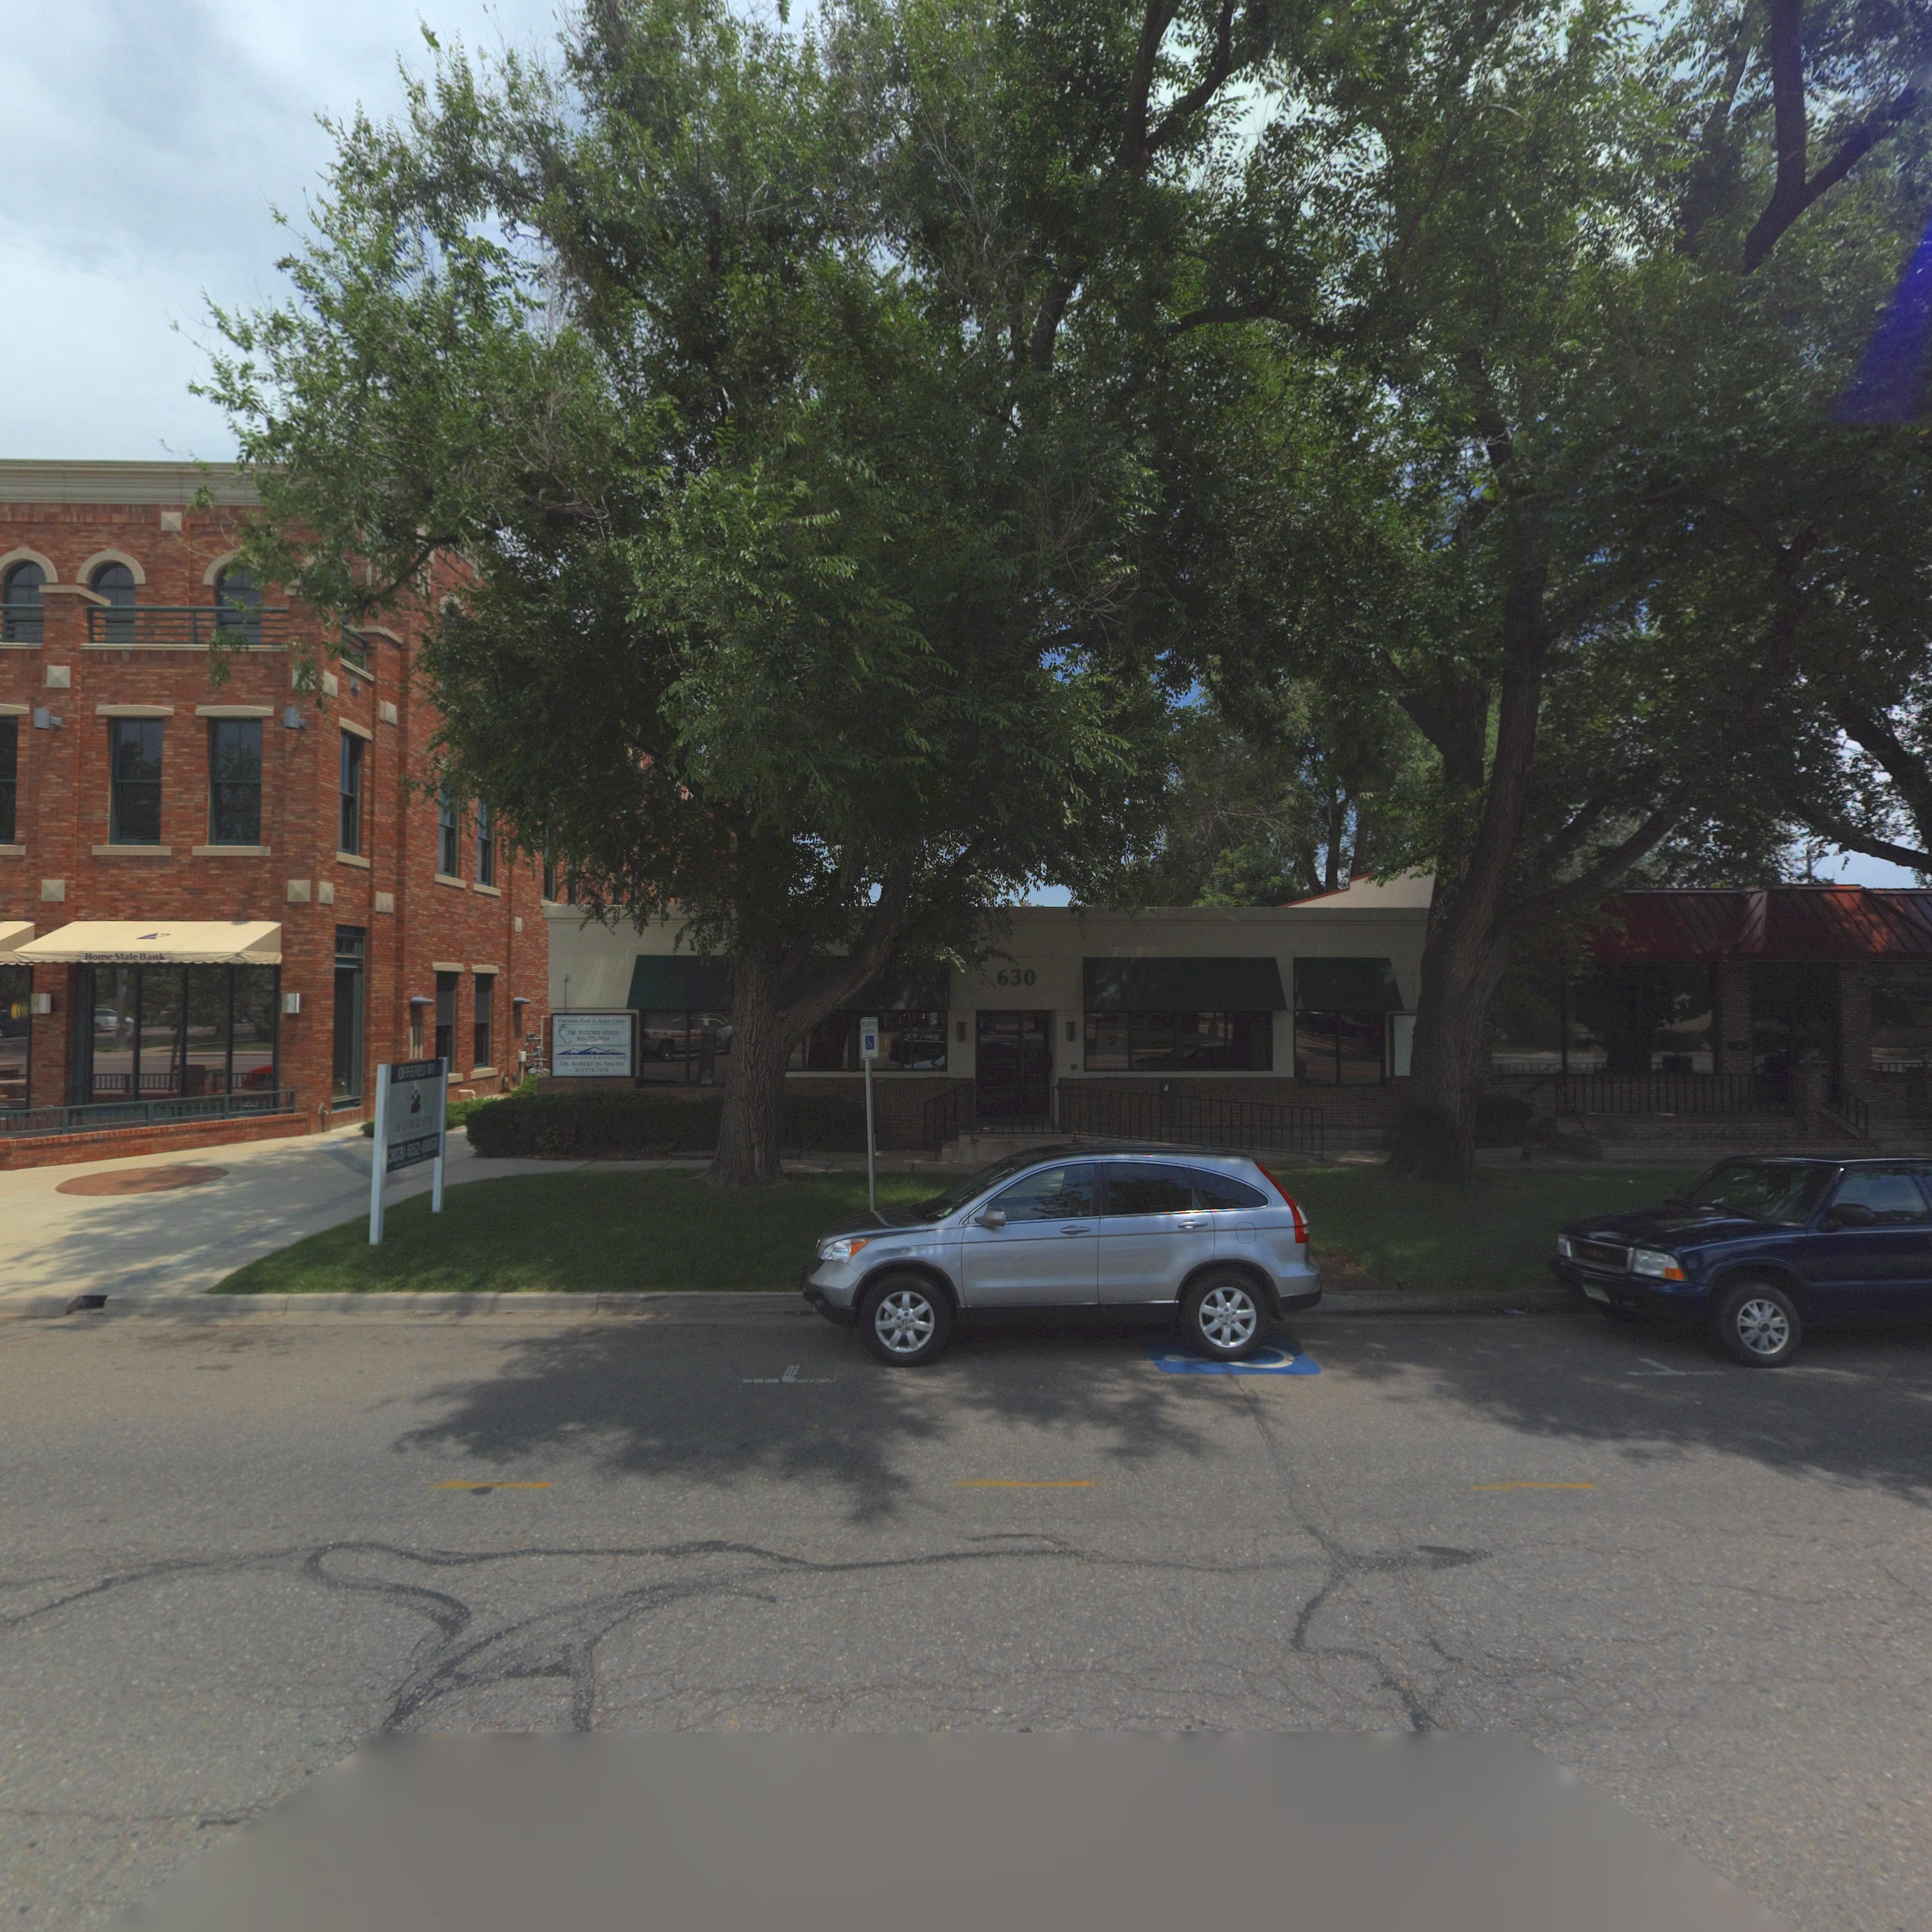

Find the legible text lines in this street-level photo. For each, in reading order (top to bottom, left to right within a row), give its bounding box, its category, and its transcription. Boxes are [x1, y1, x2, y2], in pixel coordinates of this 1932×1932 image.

[84, 952, 165, 960] BusinessName: Home State Bank
[995, 968, 1038, 985] StreetNumber: 630
[558, 1018, 627, 1023] BusinessName: Flat***** Foot * Ankle Cli***